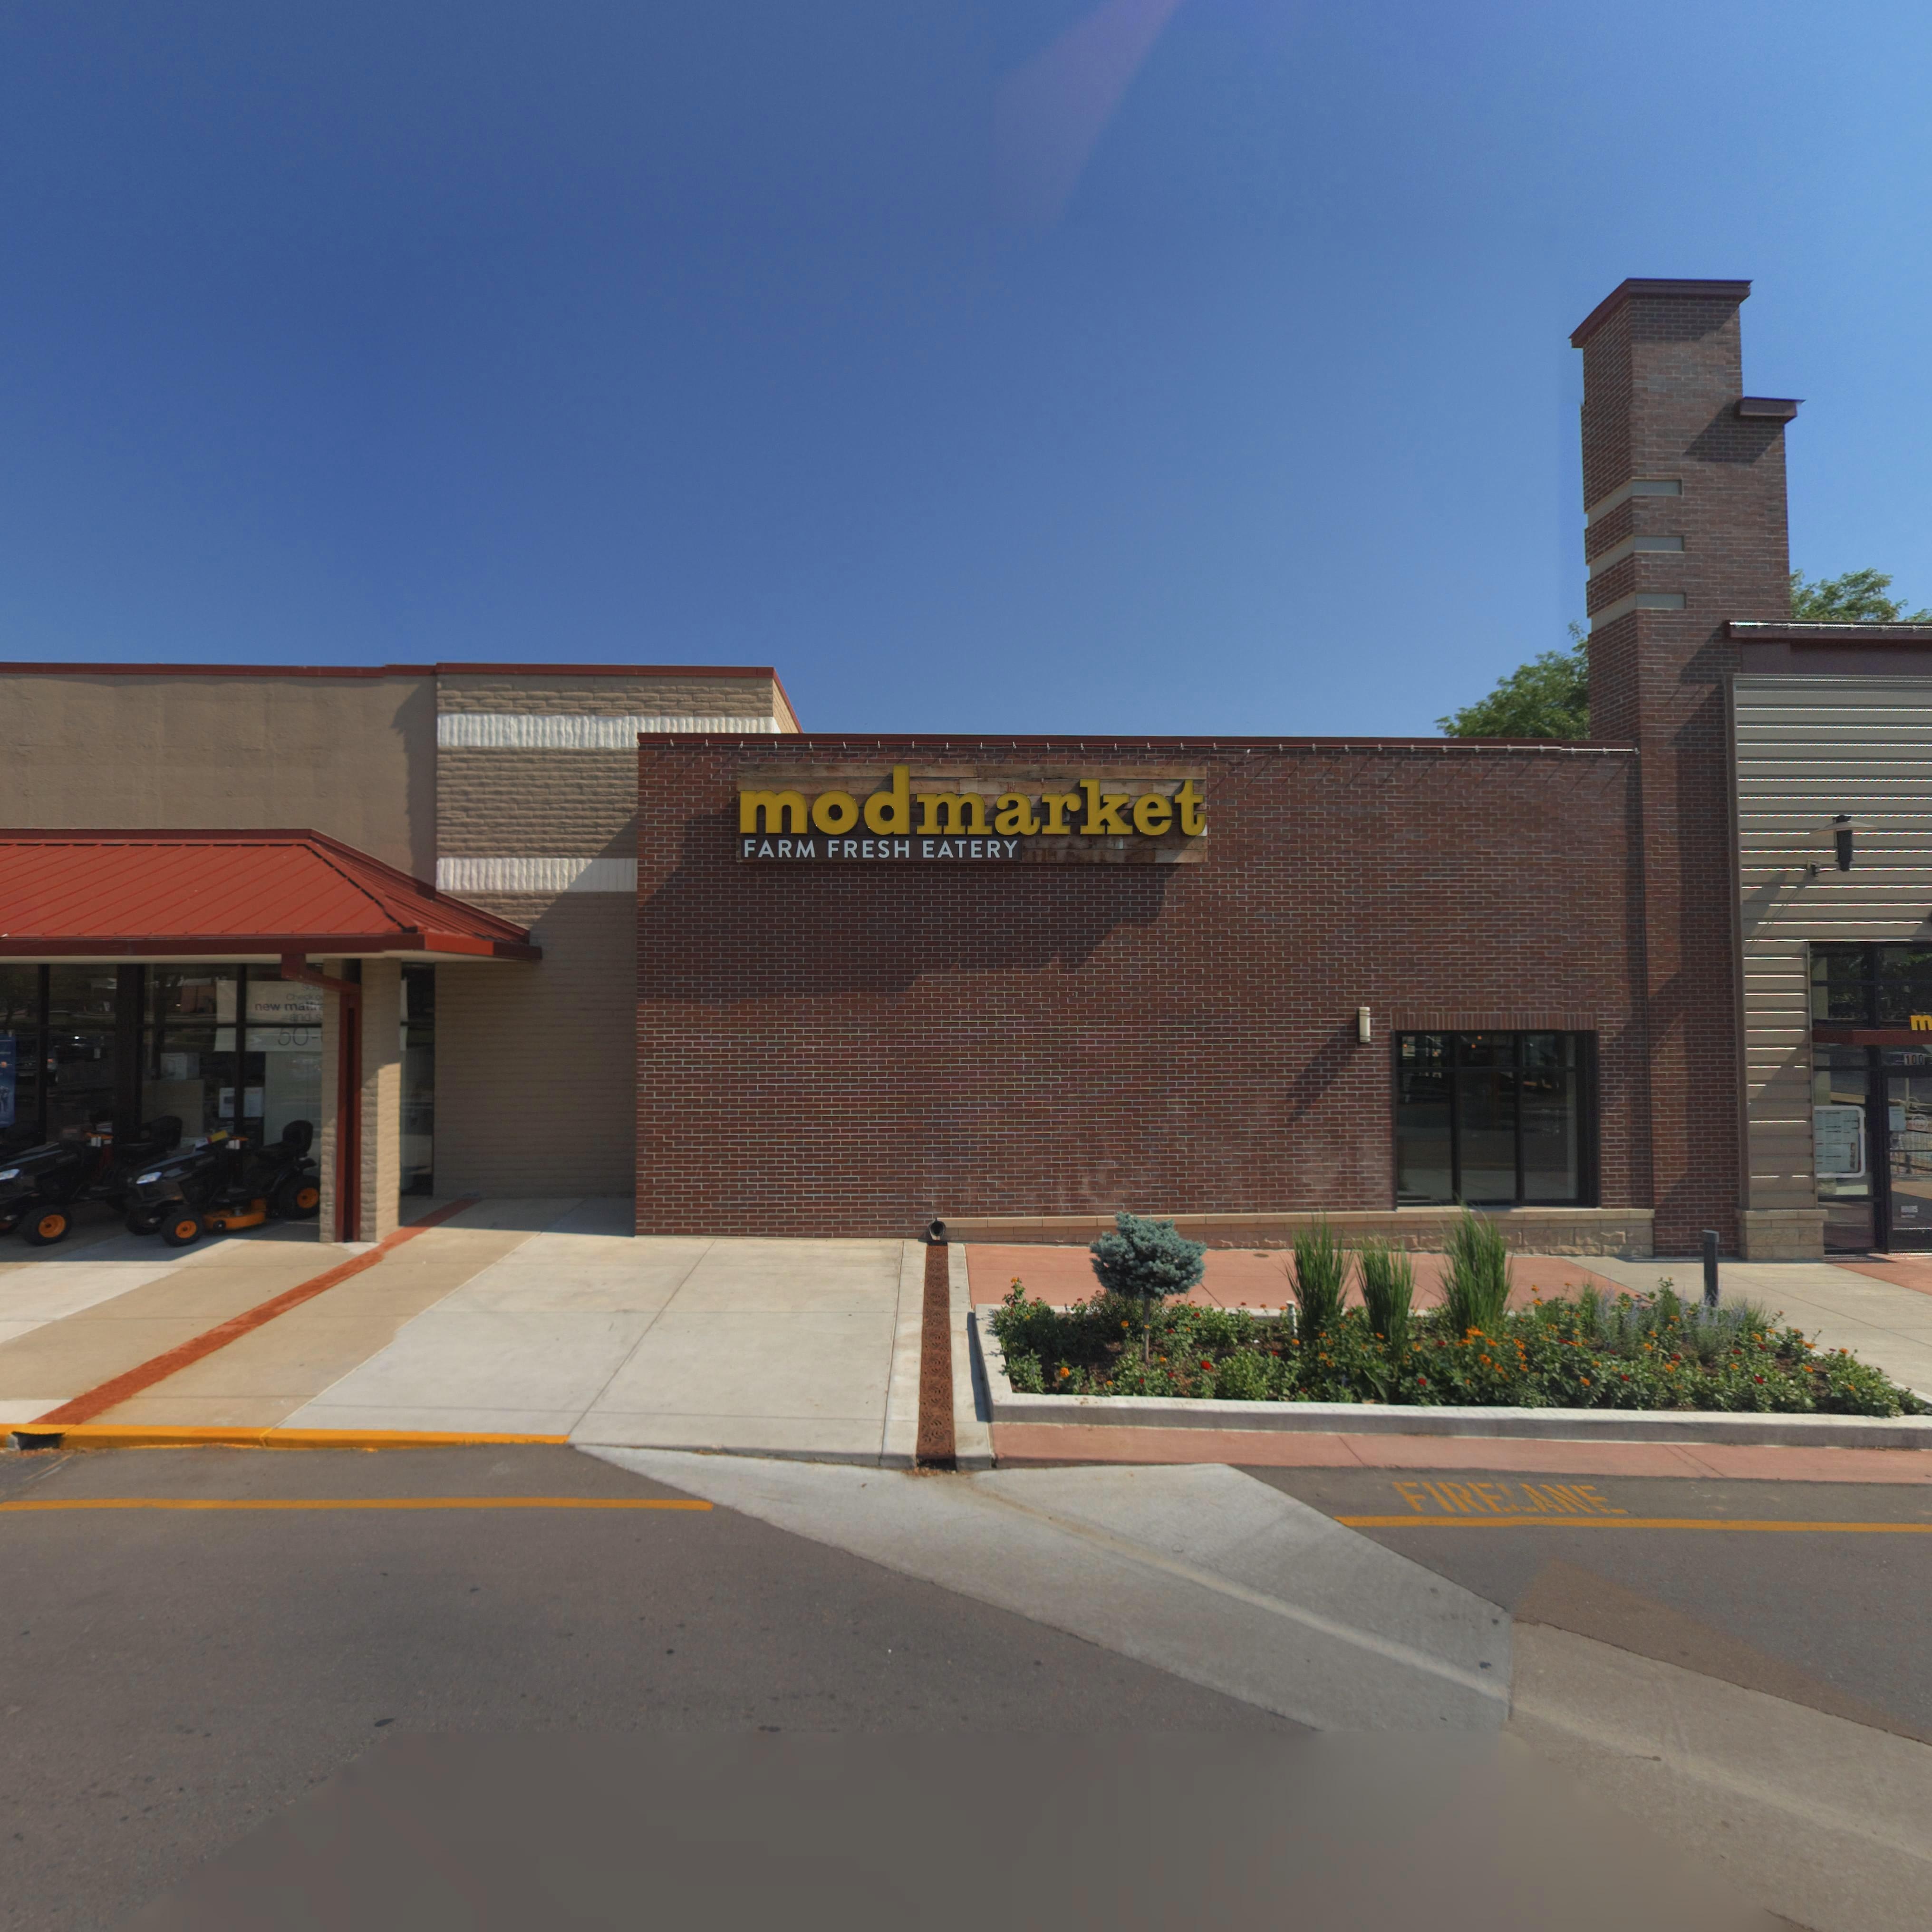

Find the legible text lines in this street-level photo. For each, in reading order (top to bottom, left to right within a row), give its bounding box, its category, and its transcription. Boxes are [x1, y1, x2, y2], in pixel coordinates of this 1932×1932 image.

[739, 763, 1207, 837] BusinessName: modmarket
[743, 838, 1019, 859] BusinessName: FARM FRESH EATERY
[1910, 1014, 1932, 1031] BusinessName: m
[1905, 1054, 1924, 1065] StreetNumber: 100
[1914, 1119, 1926, 1125] BusinessName: m